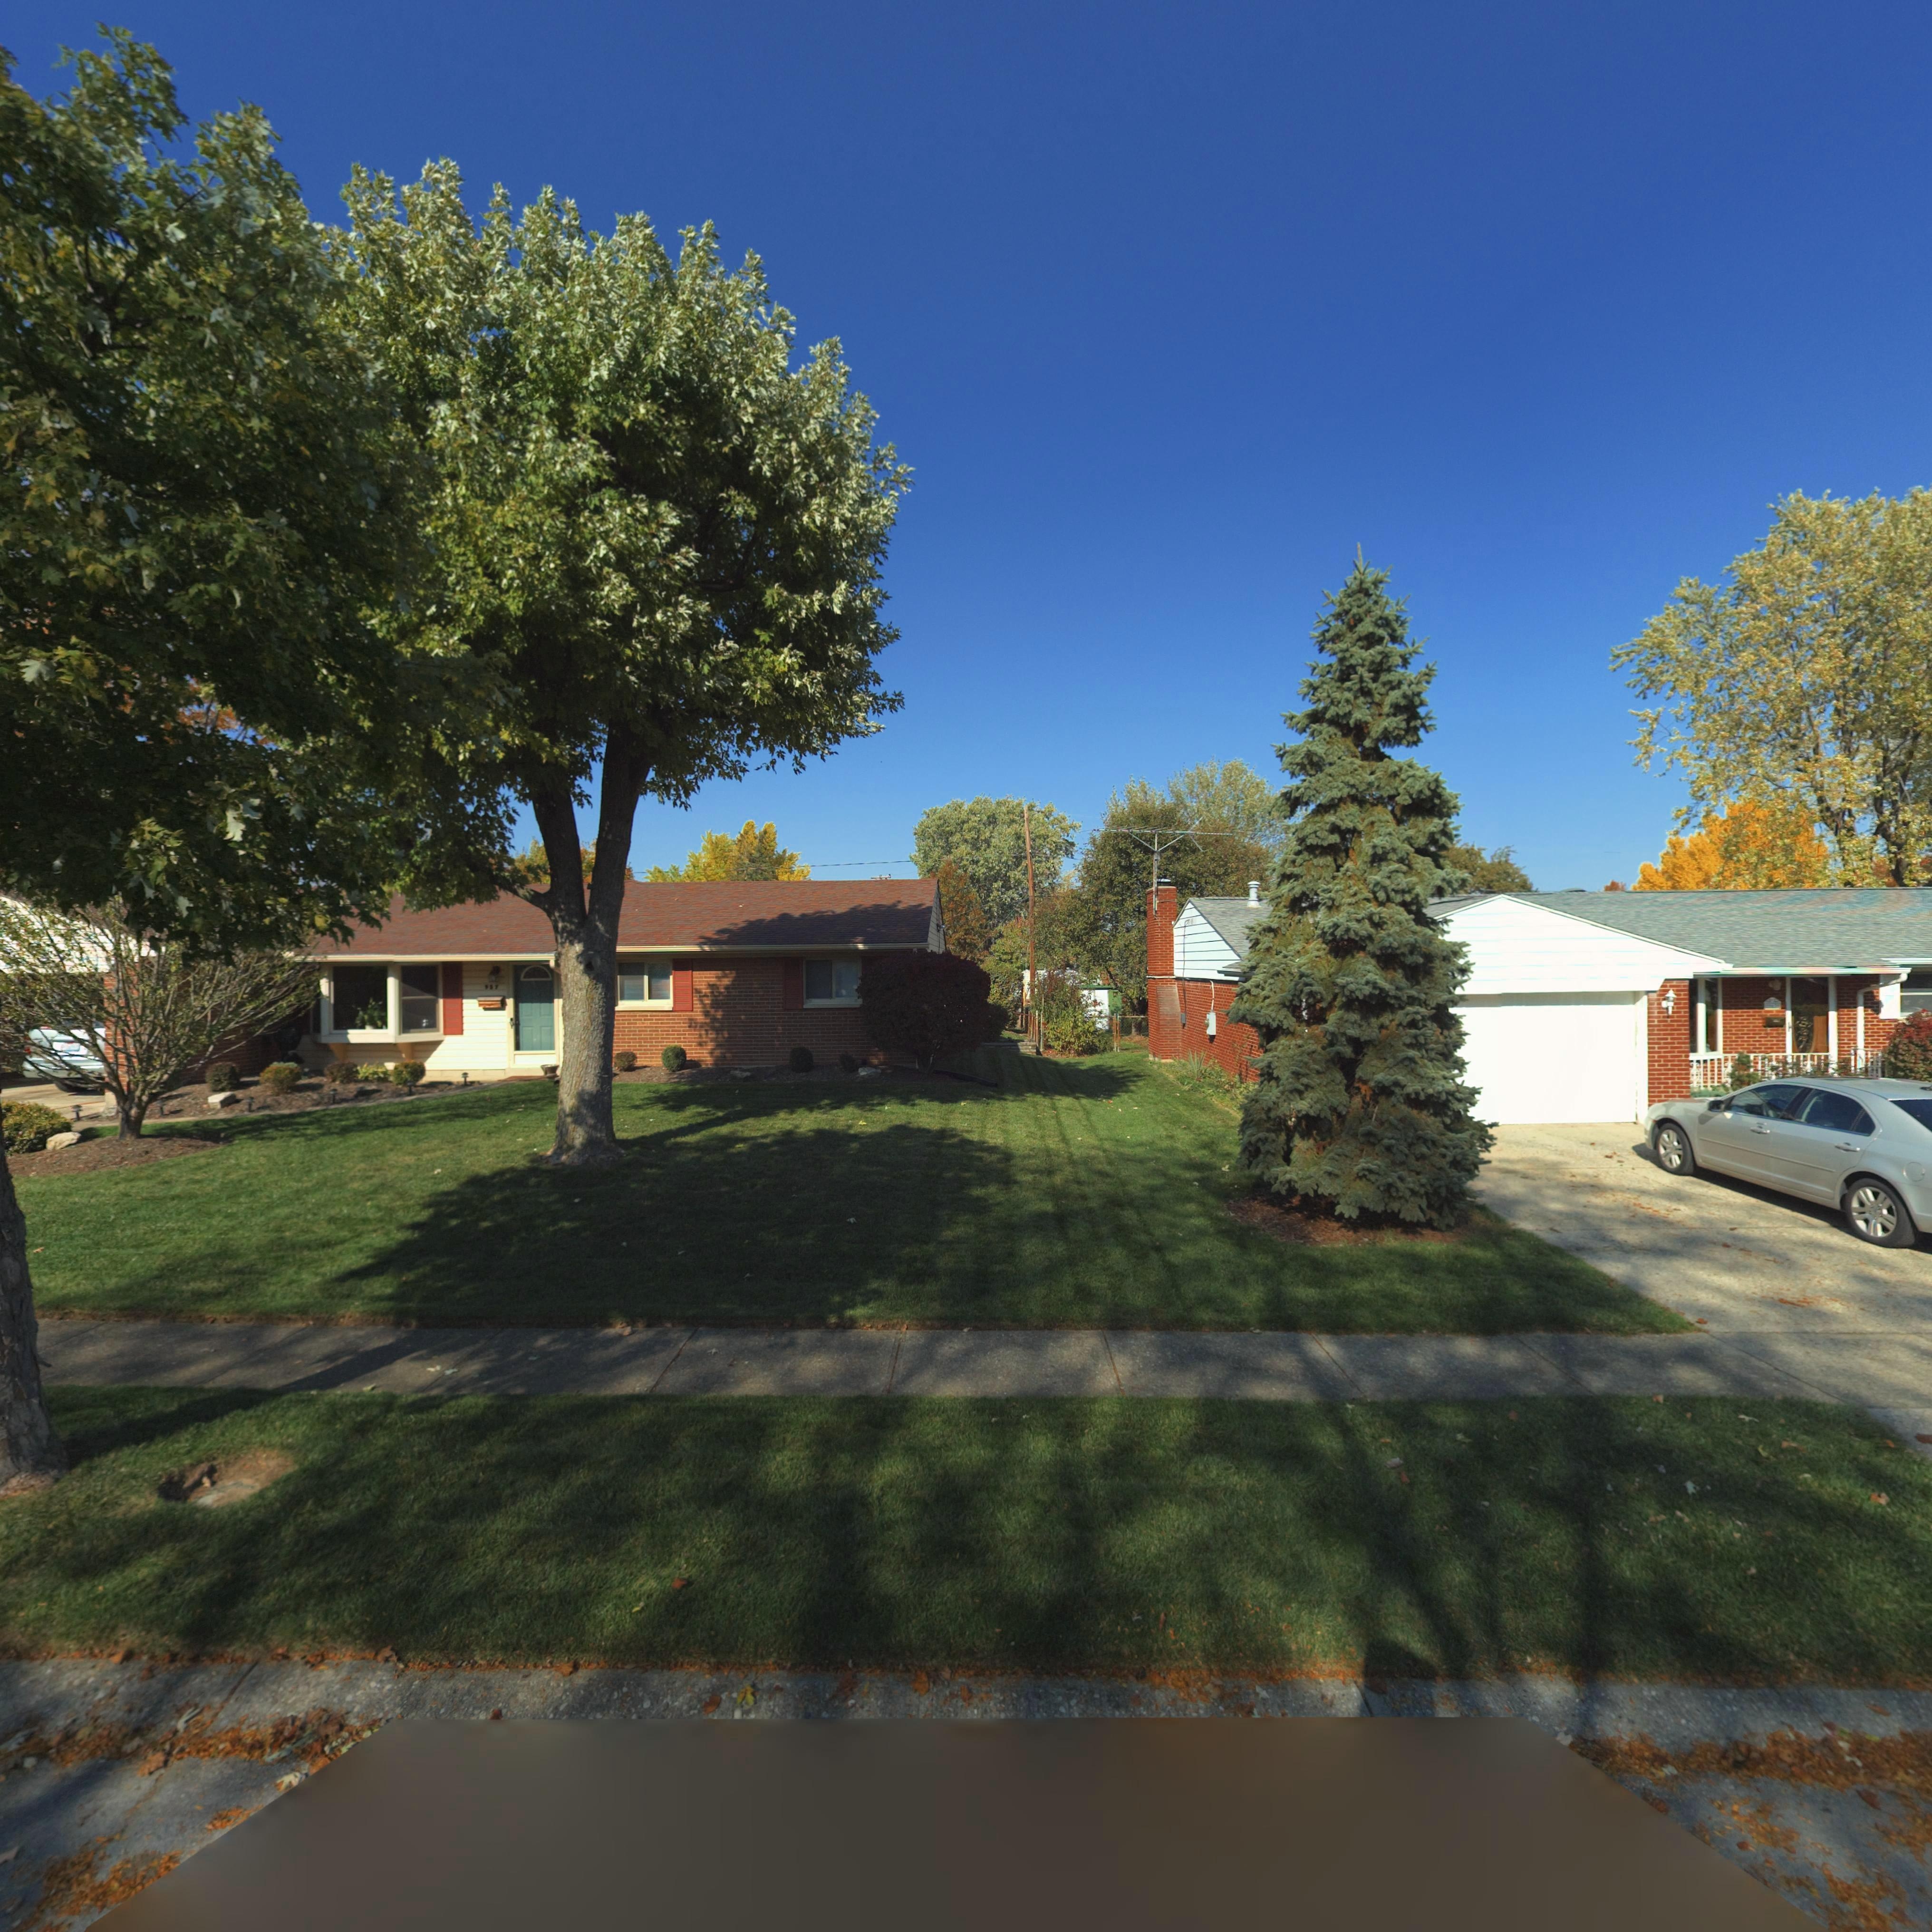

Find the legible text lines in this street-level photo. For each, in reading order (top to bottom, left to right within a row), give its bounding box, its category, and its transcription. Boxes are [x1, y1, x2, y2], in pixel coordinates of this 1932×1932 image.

[484, 984, 498, 990] StreetNumber: 957